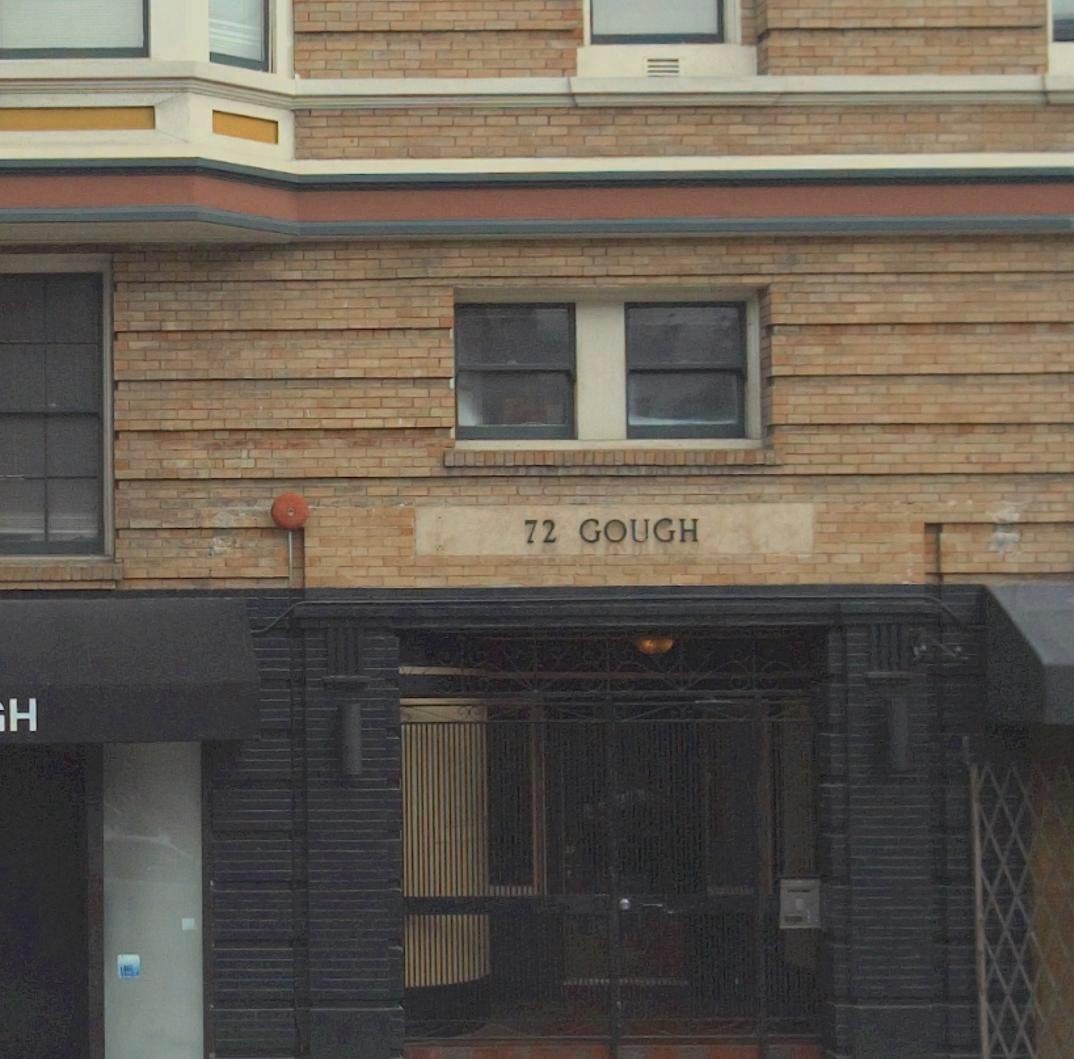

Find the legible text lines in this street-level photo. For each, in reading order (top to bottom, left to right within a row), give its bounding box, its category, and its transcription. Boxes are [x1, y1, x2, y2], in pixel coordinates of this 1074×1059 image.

[522, 518, 558, 545] StreetNumber: 72
[578, 516, 699, 543] StreetName: GOUGH
[6, 696, 39, 734] None: H